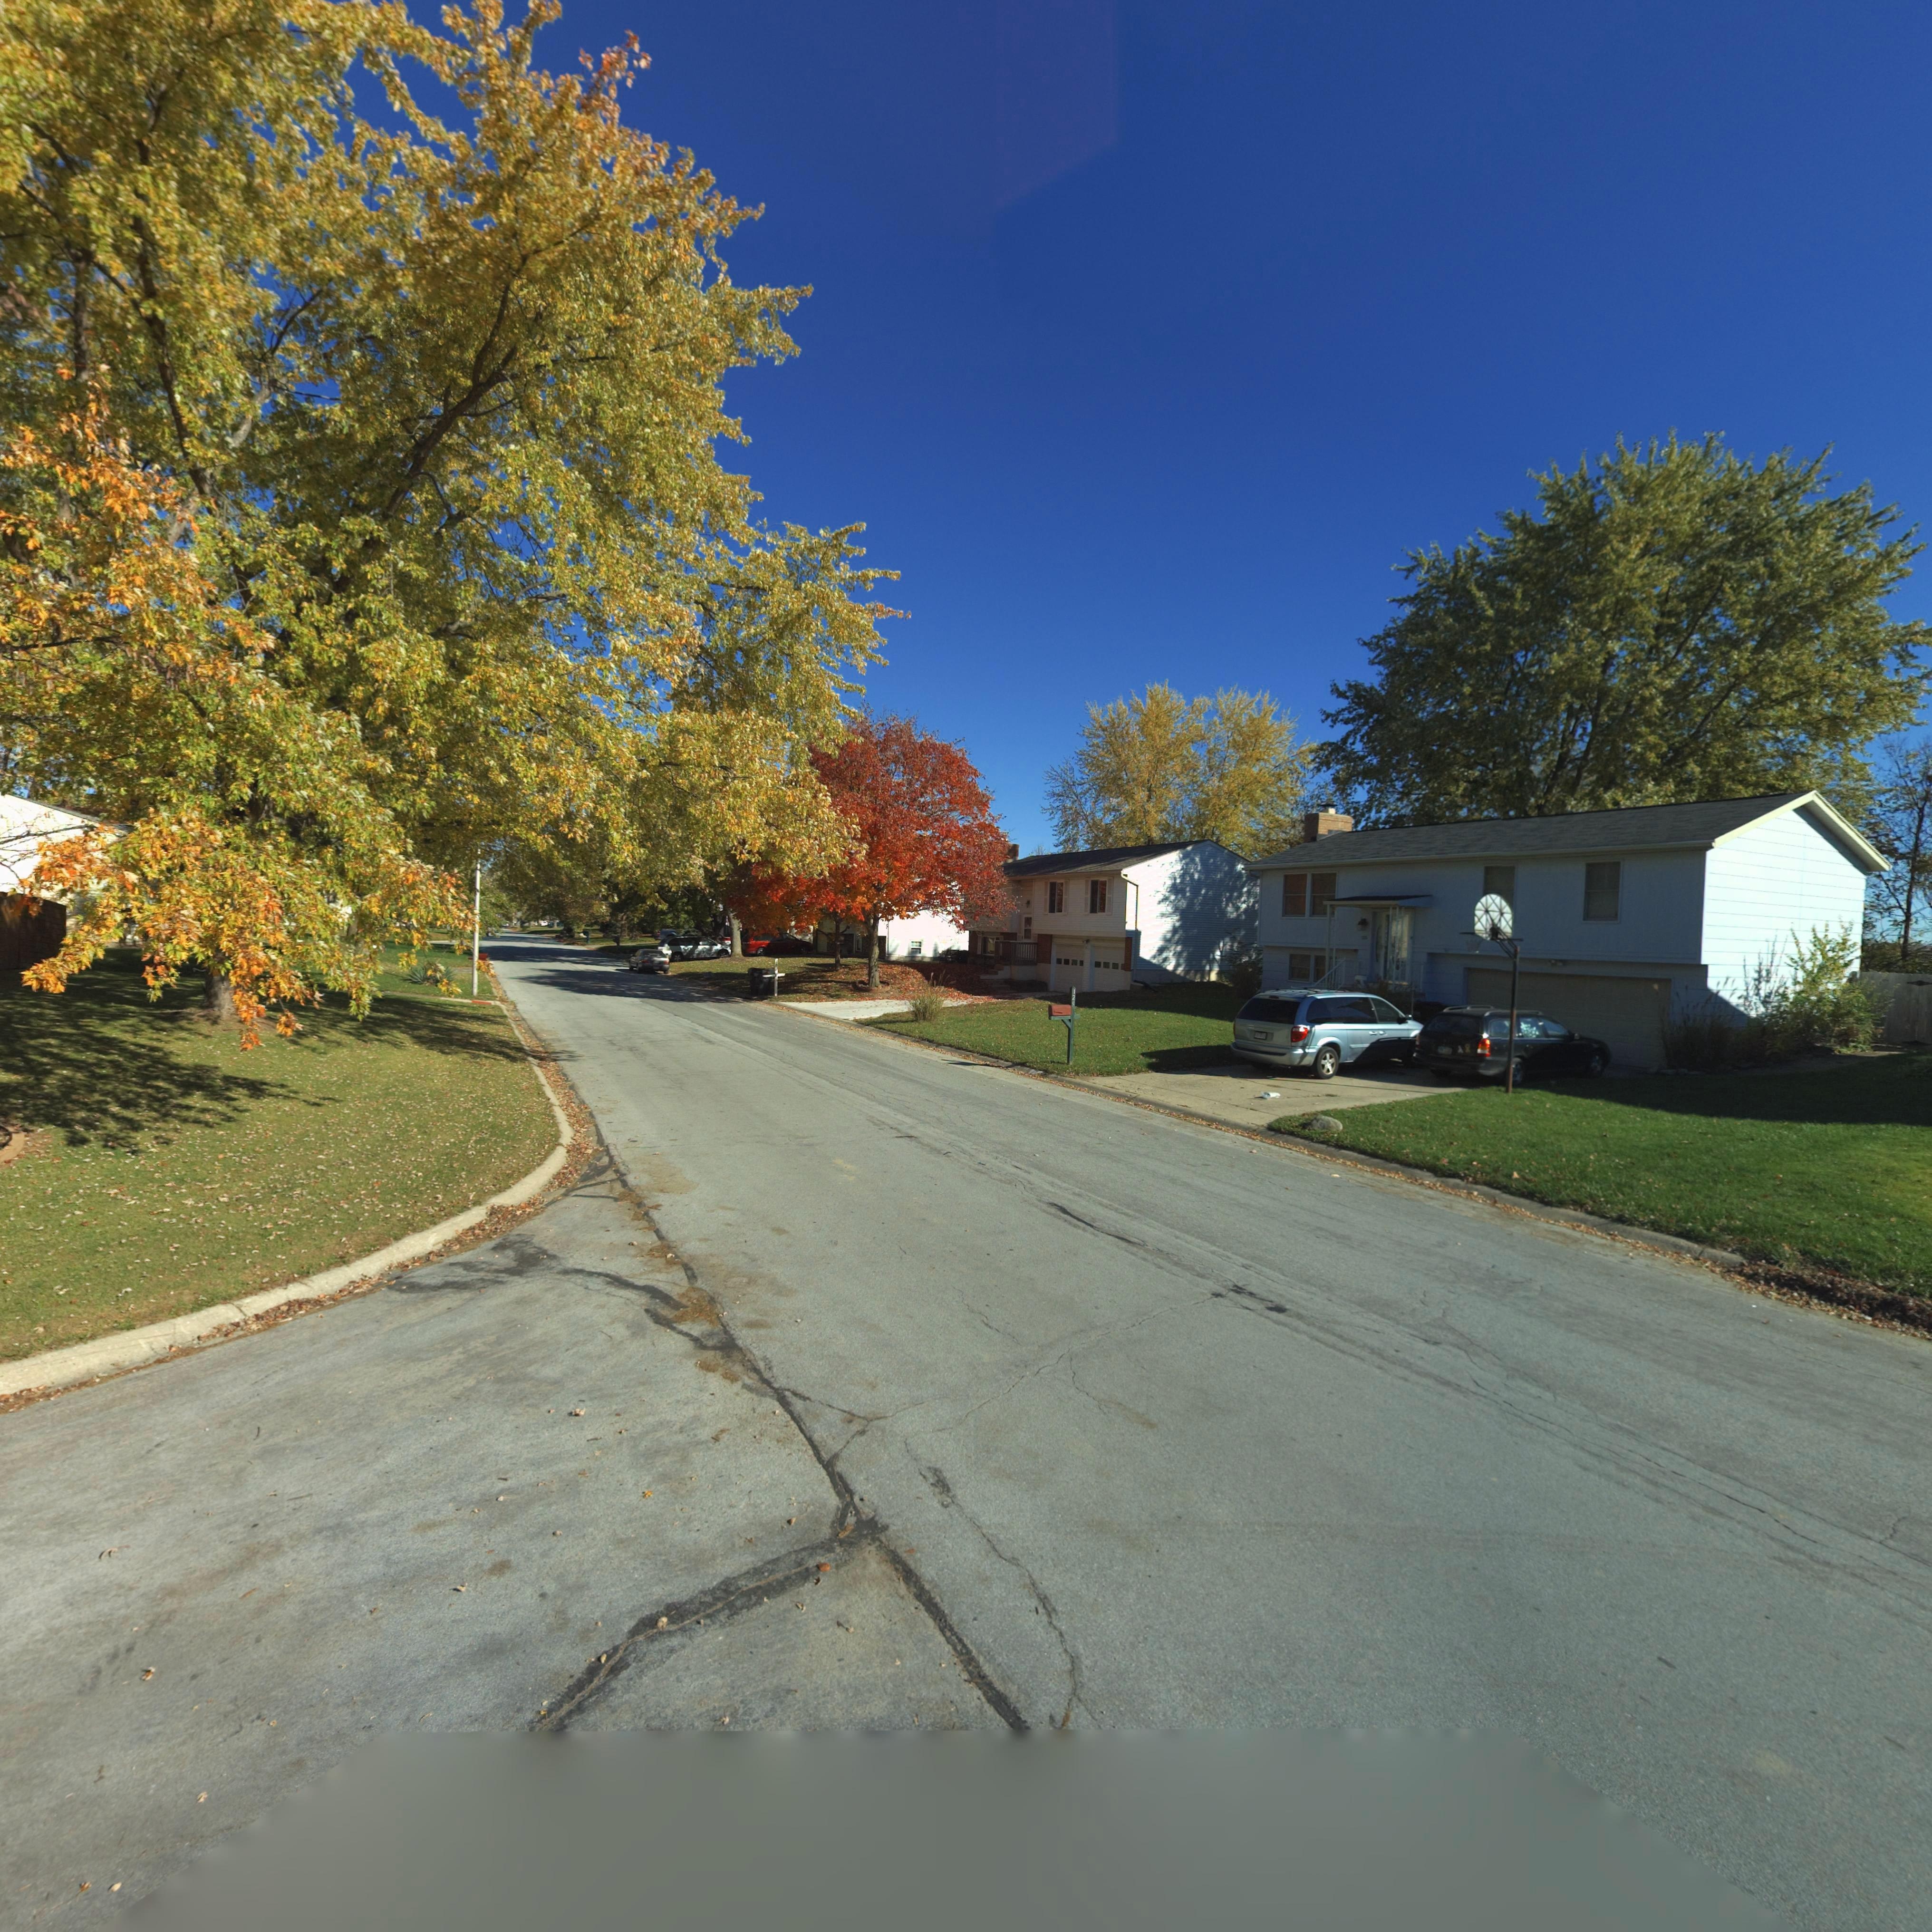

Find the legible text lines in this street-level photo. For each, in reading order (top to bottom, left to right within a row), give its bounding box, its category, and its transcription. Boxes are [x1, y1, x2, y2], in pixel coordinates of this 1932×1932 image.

[1071, 988, 1076, 1007] StreetNumber: 125